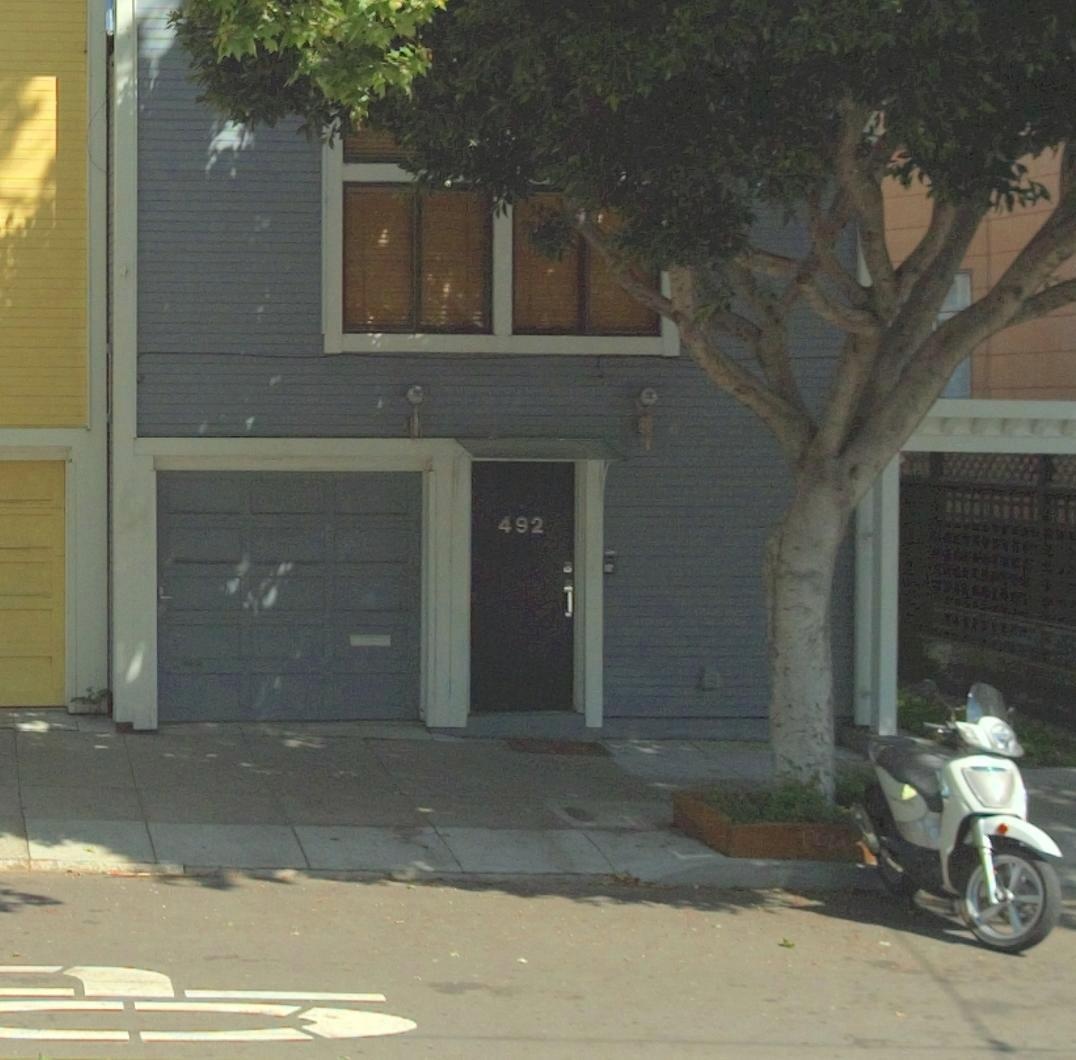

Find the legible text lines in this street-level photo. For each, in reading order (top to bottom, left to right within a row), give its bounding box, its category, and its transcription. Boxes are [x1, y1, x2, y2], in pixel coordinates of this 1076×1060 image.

[497, 514, 546, 535] StreetNumber: 492